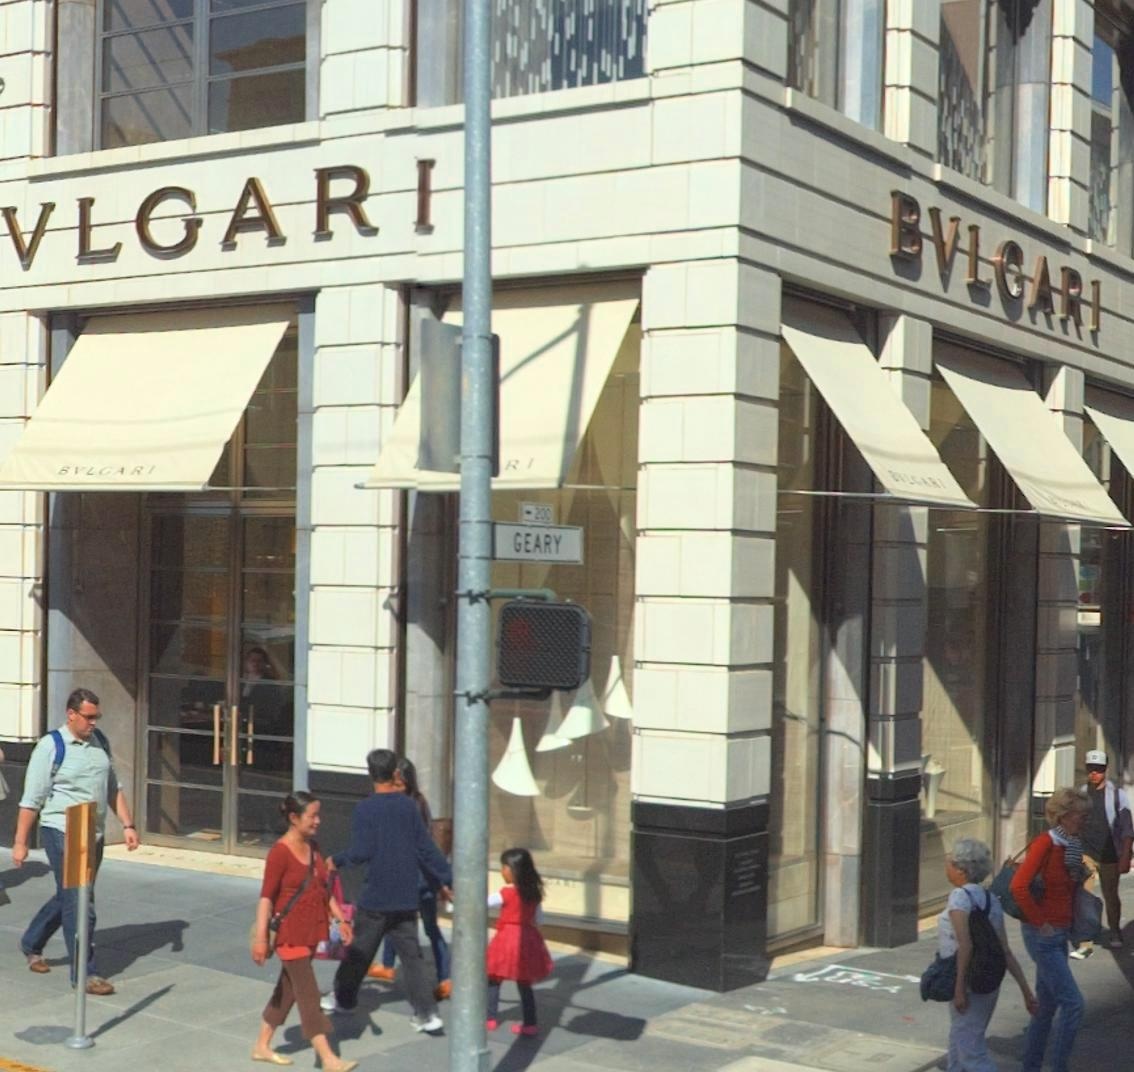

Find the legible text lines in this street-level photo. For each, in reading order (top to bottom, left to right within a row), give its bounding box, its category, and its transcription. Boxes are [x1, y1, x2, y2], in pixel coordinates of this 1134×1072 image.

[0, 156, 438, 268] BusinessName: VLGAR*
[887, 183, 1104, 337] BusinessName: BVLGARI
[54, 463, 162, 479] BusinessName: BVLGARI
[500, 454, 539, 474] BusinessName: RI
[522, 504, 554, 523] BusinessName: <-200
[510, 528, 565, 557] StreetName: GEARY